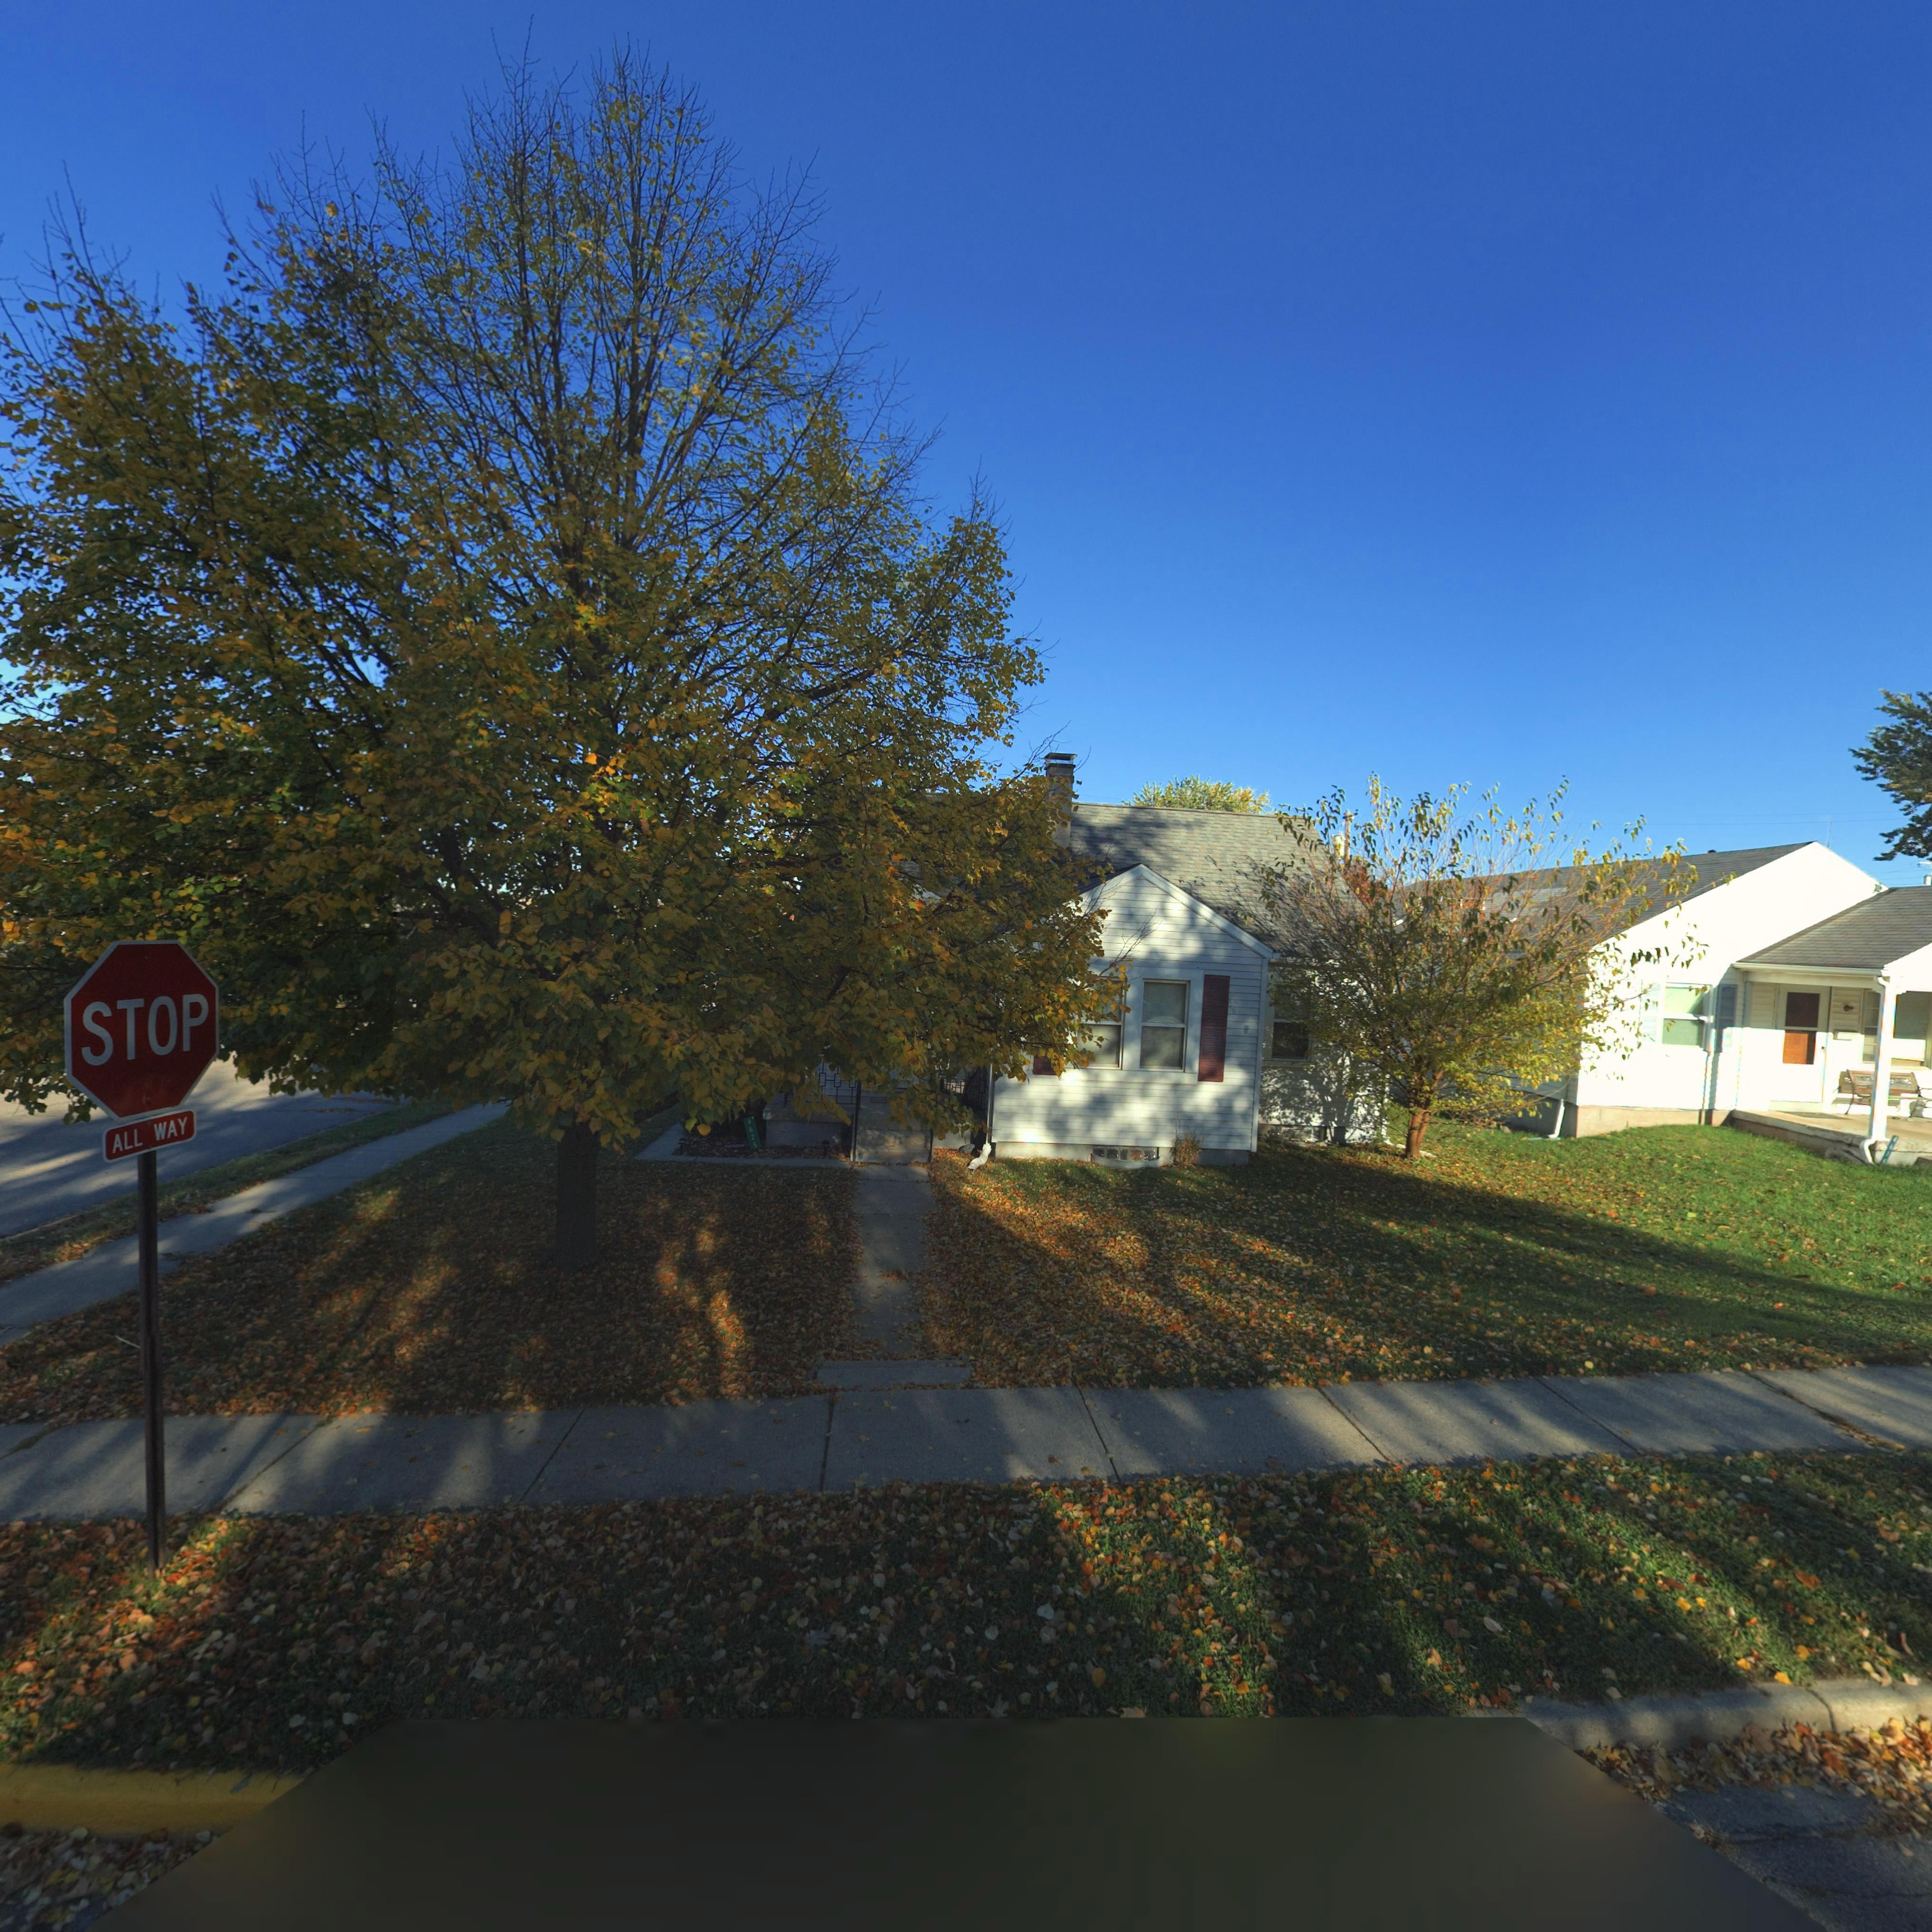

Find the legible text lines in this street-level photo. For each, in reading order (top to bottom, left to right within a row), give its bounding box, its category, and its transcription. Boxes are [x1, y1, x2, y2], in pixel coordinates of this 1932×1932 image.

[746, 1117, 759, 1149] StreetNumber: 4625